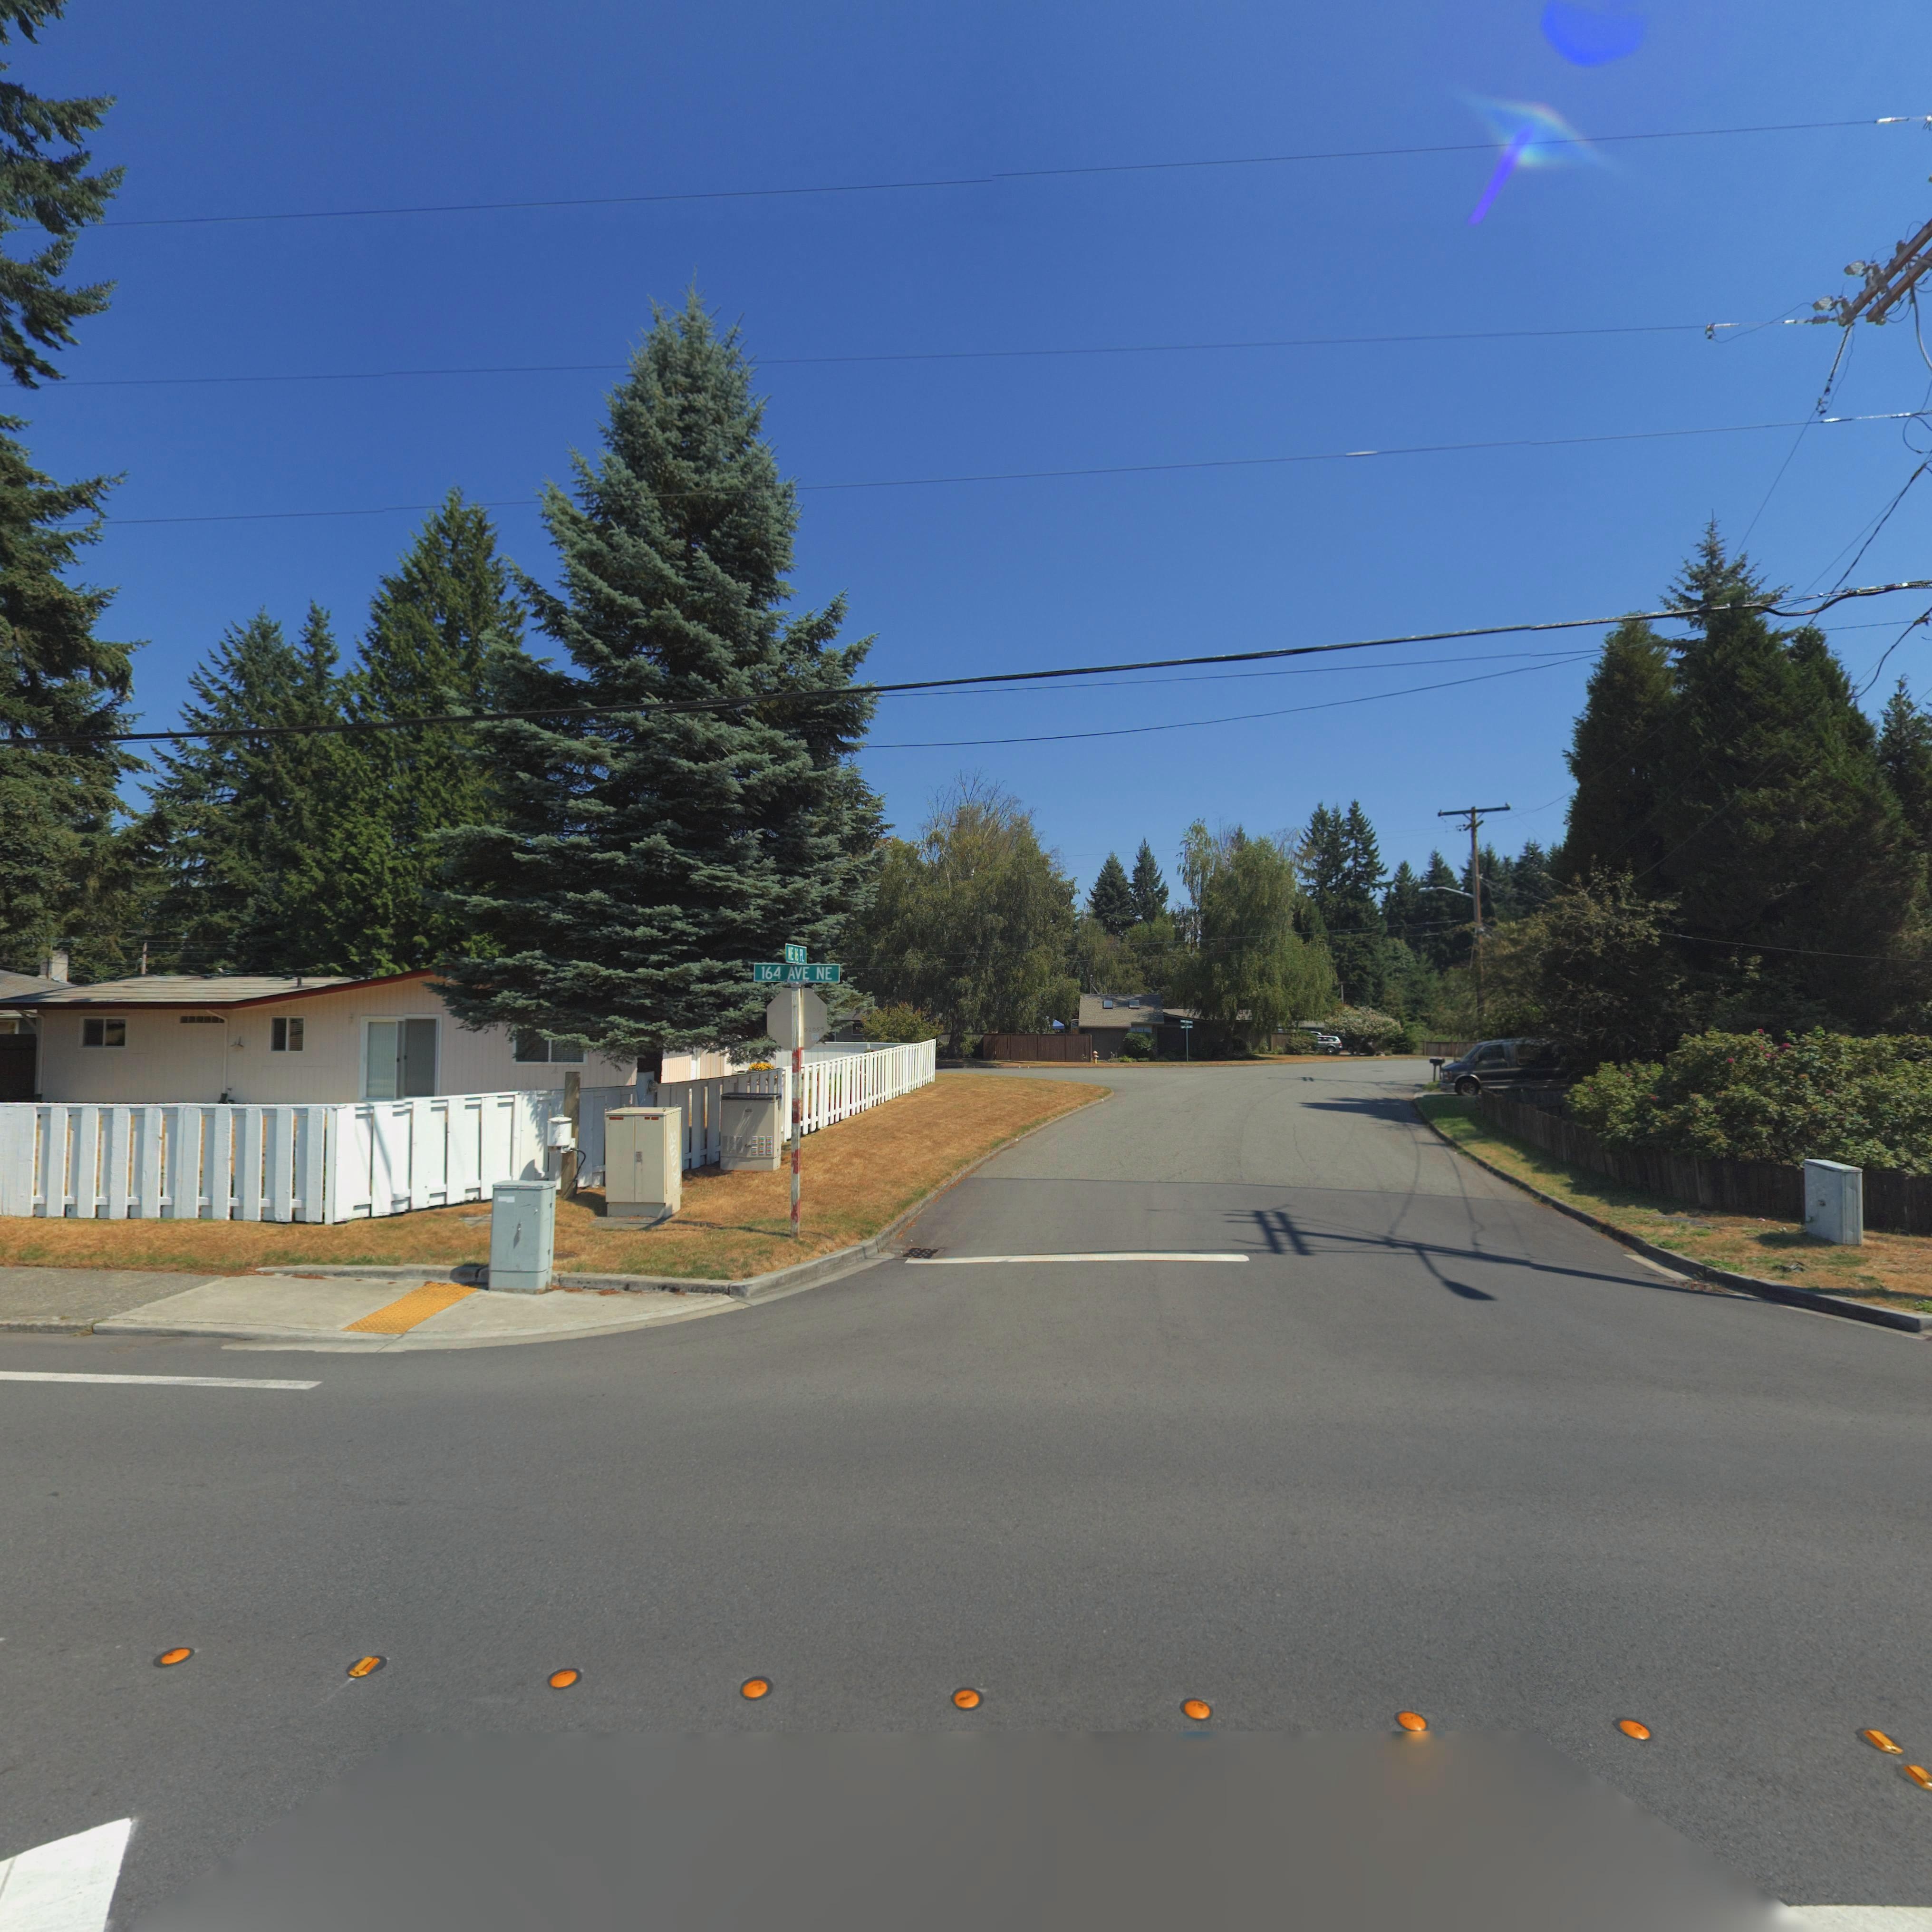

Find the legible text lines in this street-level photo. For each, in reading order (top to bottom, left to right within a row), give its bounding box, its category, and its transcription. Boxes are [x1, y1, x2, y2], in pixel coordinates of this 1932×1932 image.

[761, 965, 833, 981] StreetName: 164 AVE NE